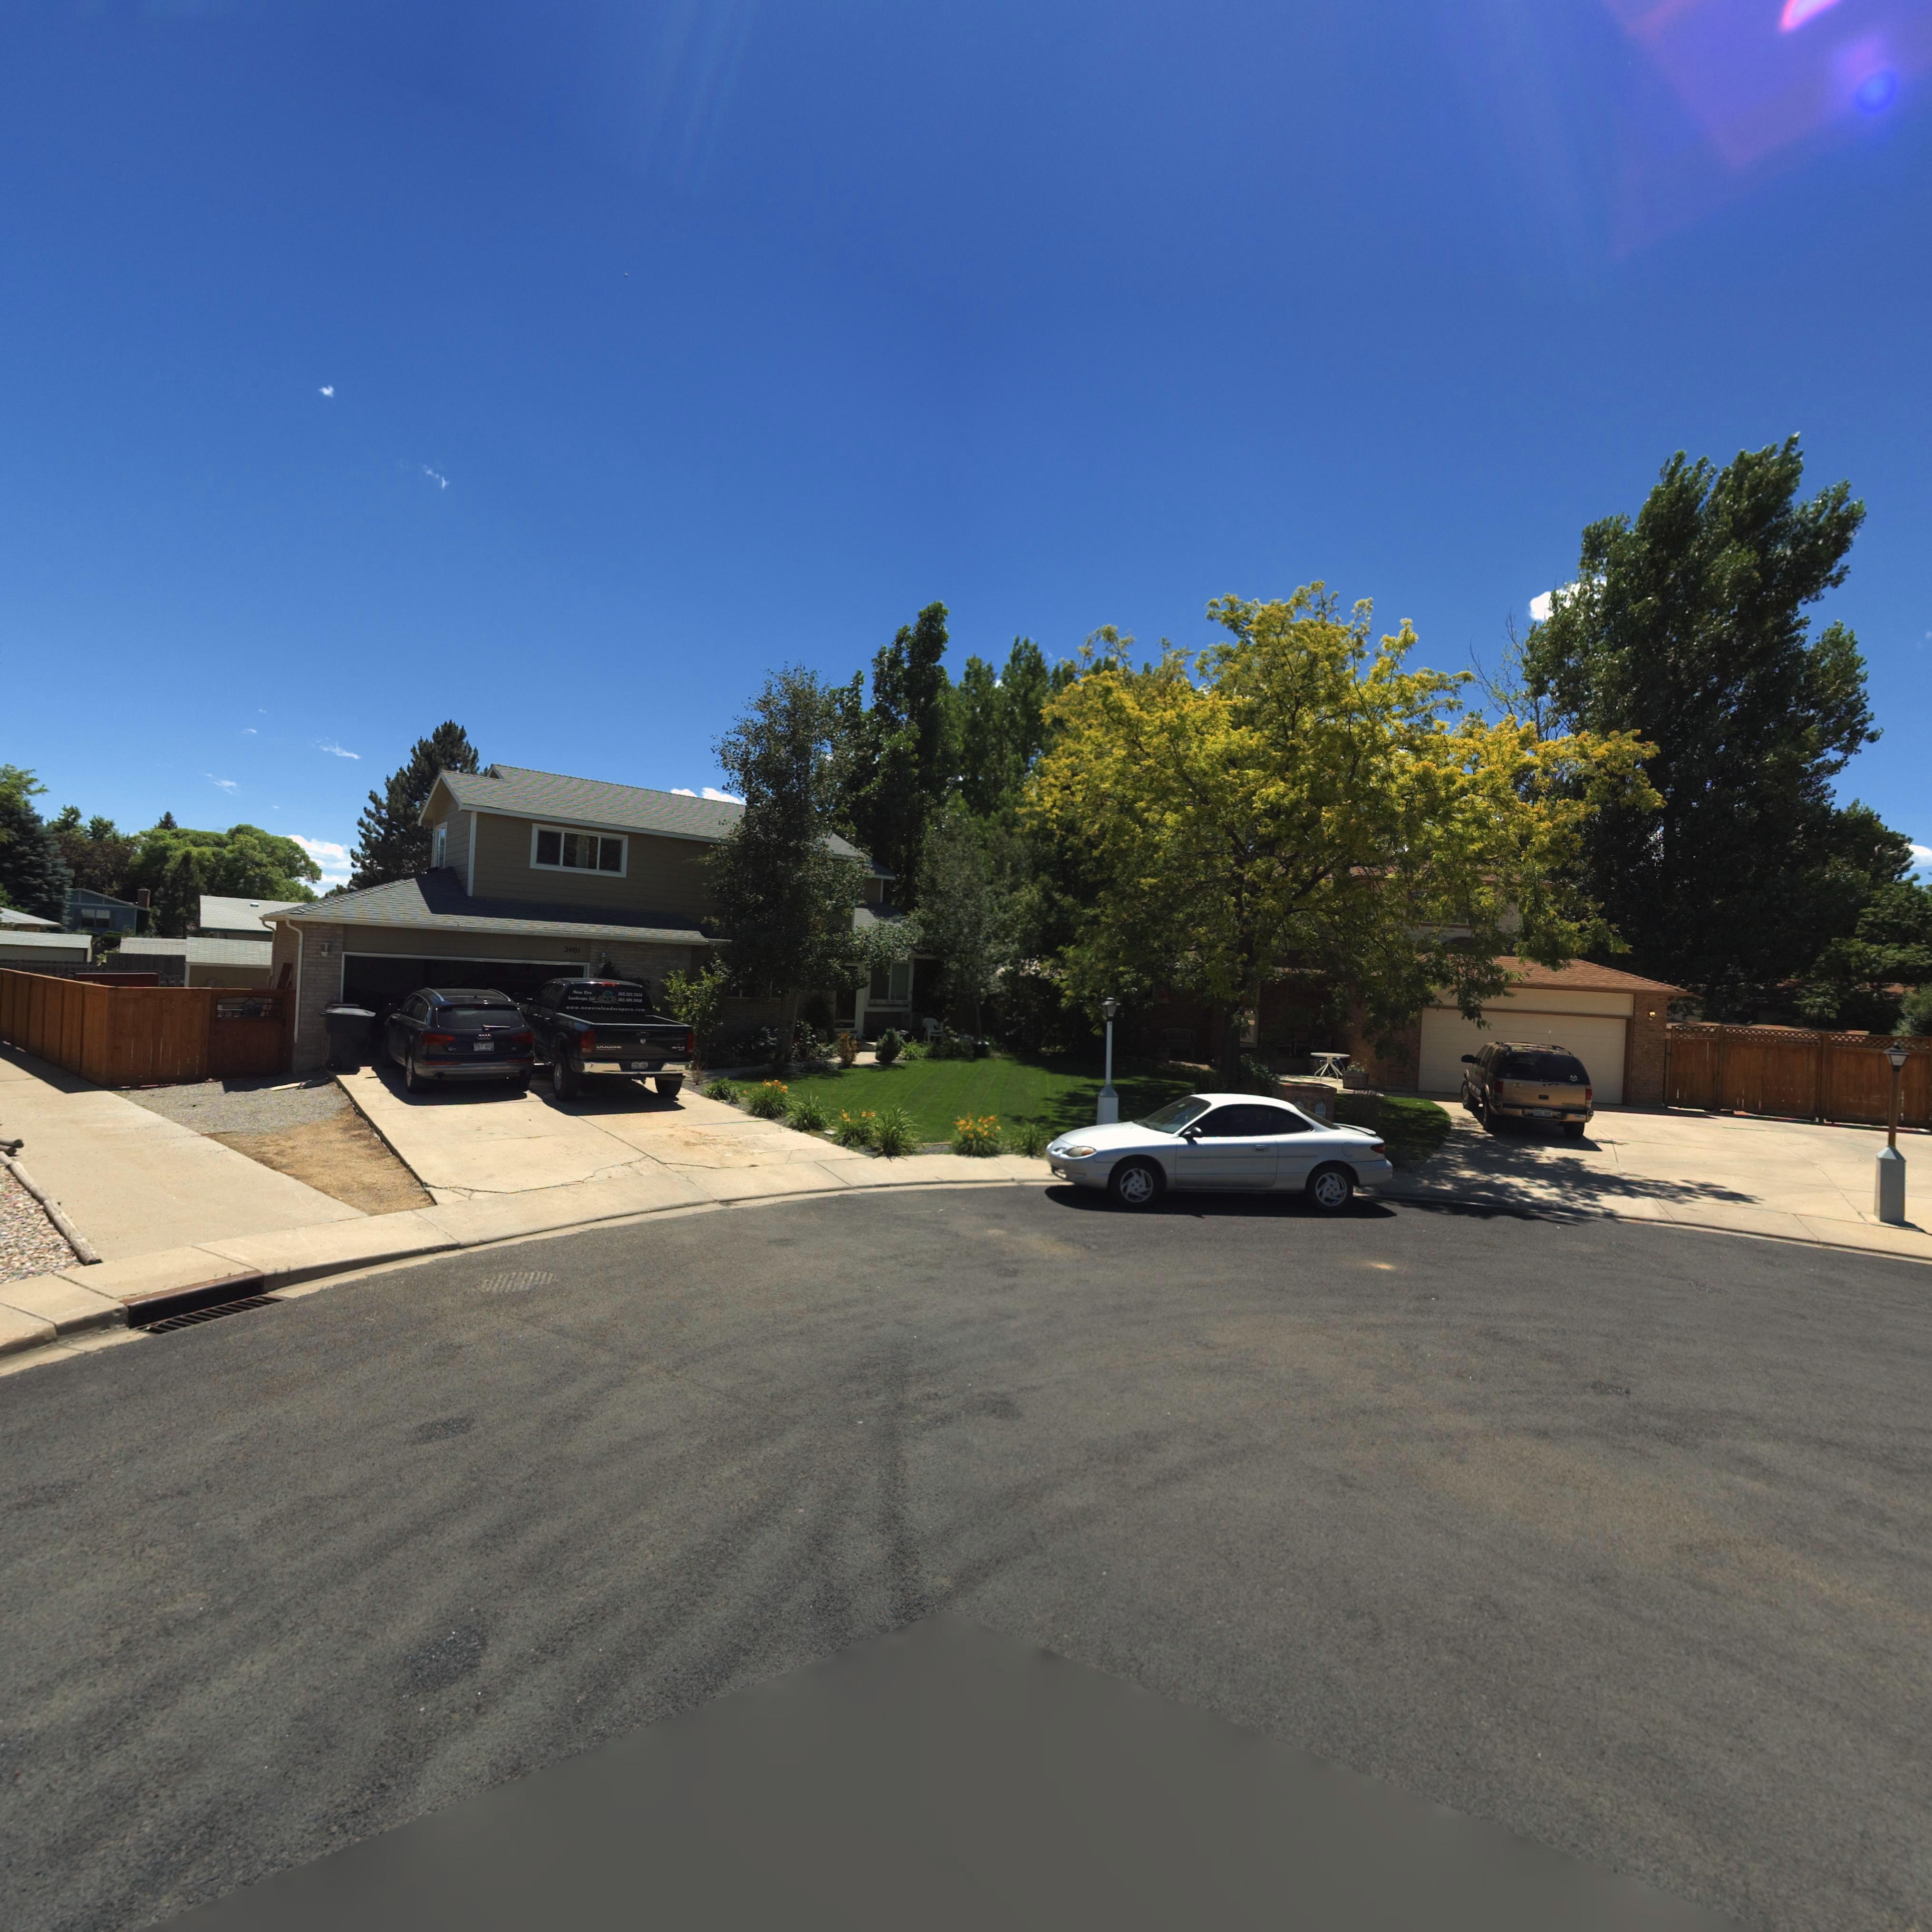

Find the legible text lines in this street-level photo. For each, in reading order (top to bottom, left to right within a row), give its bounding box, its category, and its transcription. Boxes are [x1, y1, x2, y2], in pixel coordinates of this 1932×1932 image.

[563, 946, 581, 954] StreetNumber: 2401